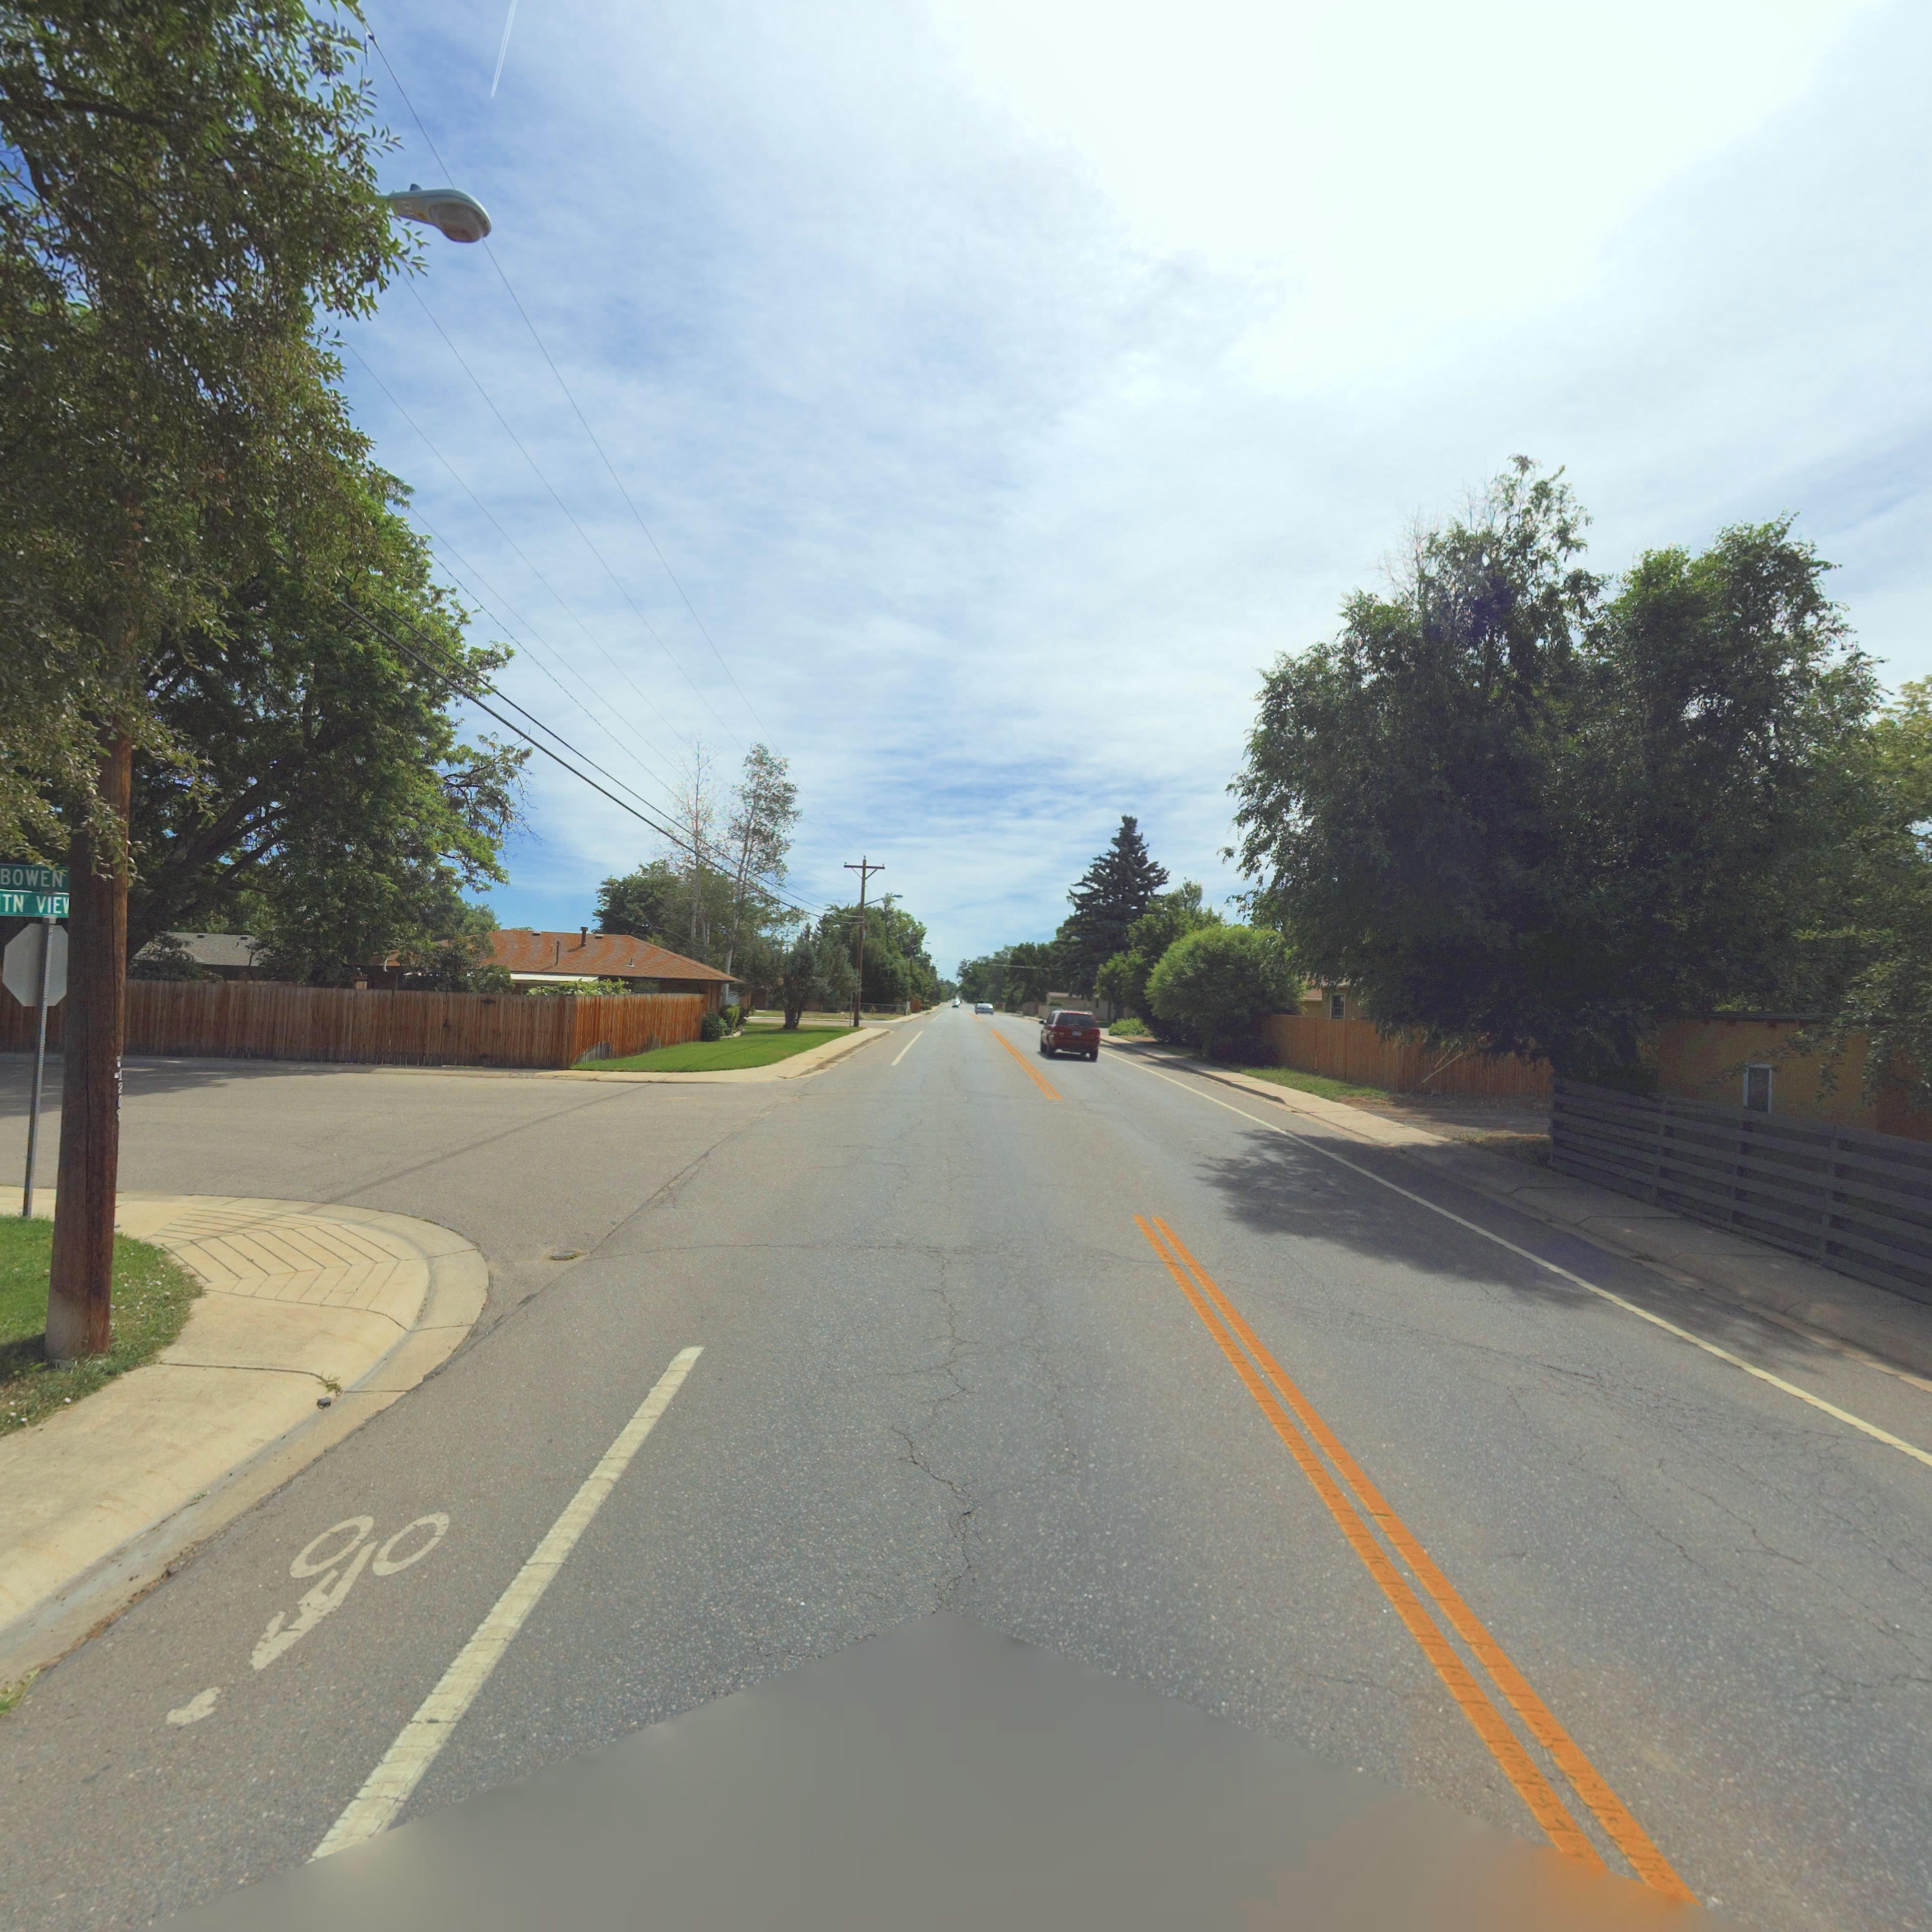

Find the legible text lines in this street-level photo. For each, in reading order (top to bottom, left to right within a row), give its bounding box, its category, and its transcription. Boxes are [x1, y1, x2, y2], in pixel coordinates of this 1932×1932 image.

[0, 868, 63, 889] StreetName: BOWEN
[1, 893, 62, 914] StreetName: TN VIE